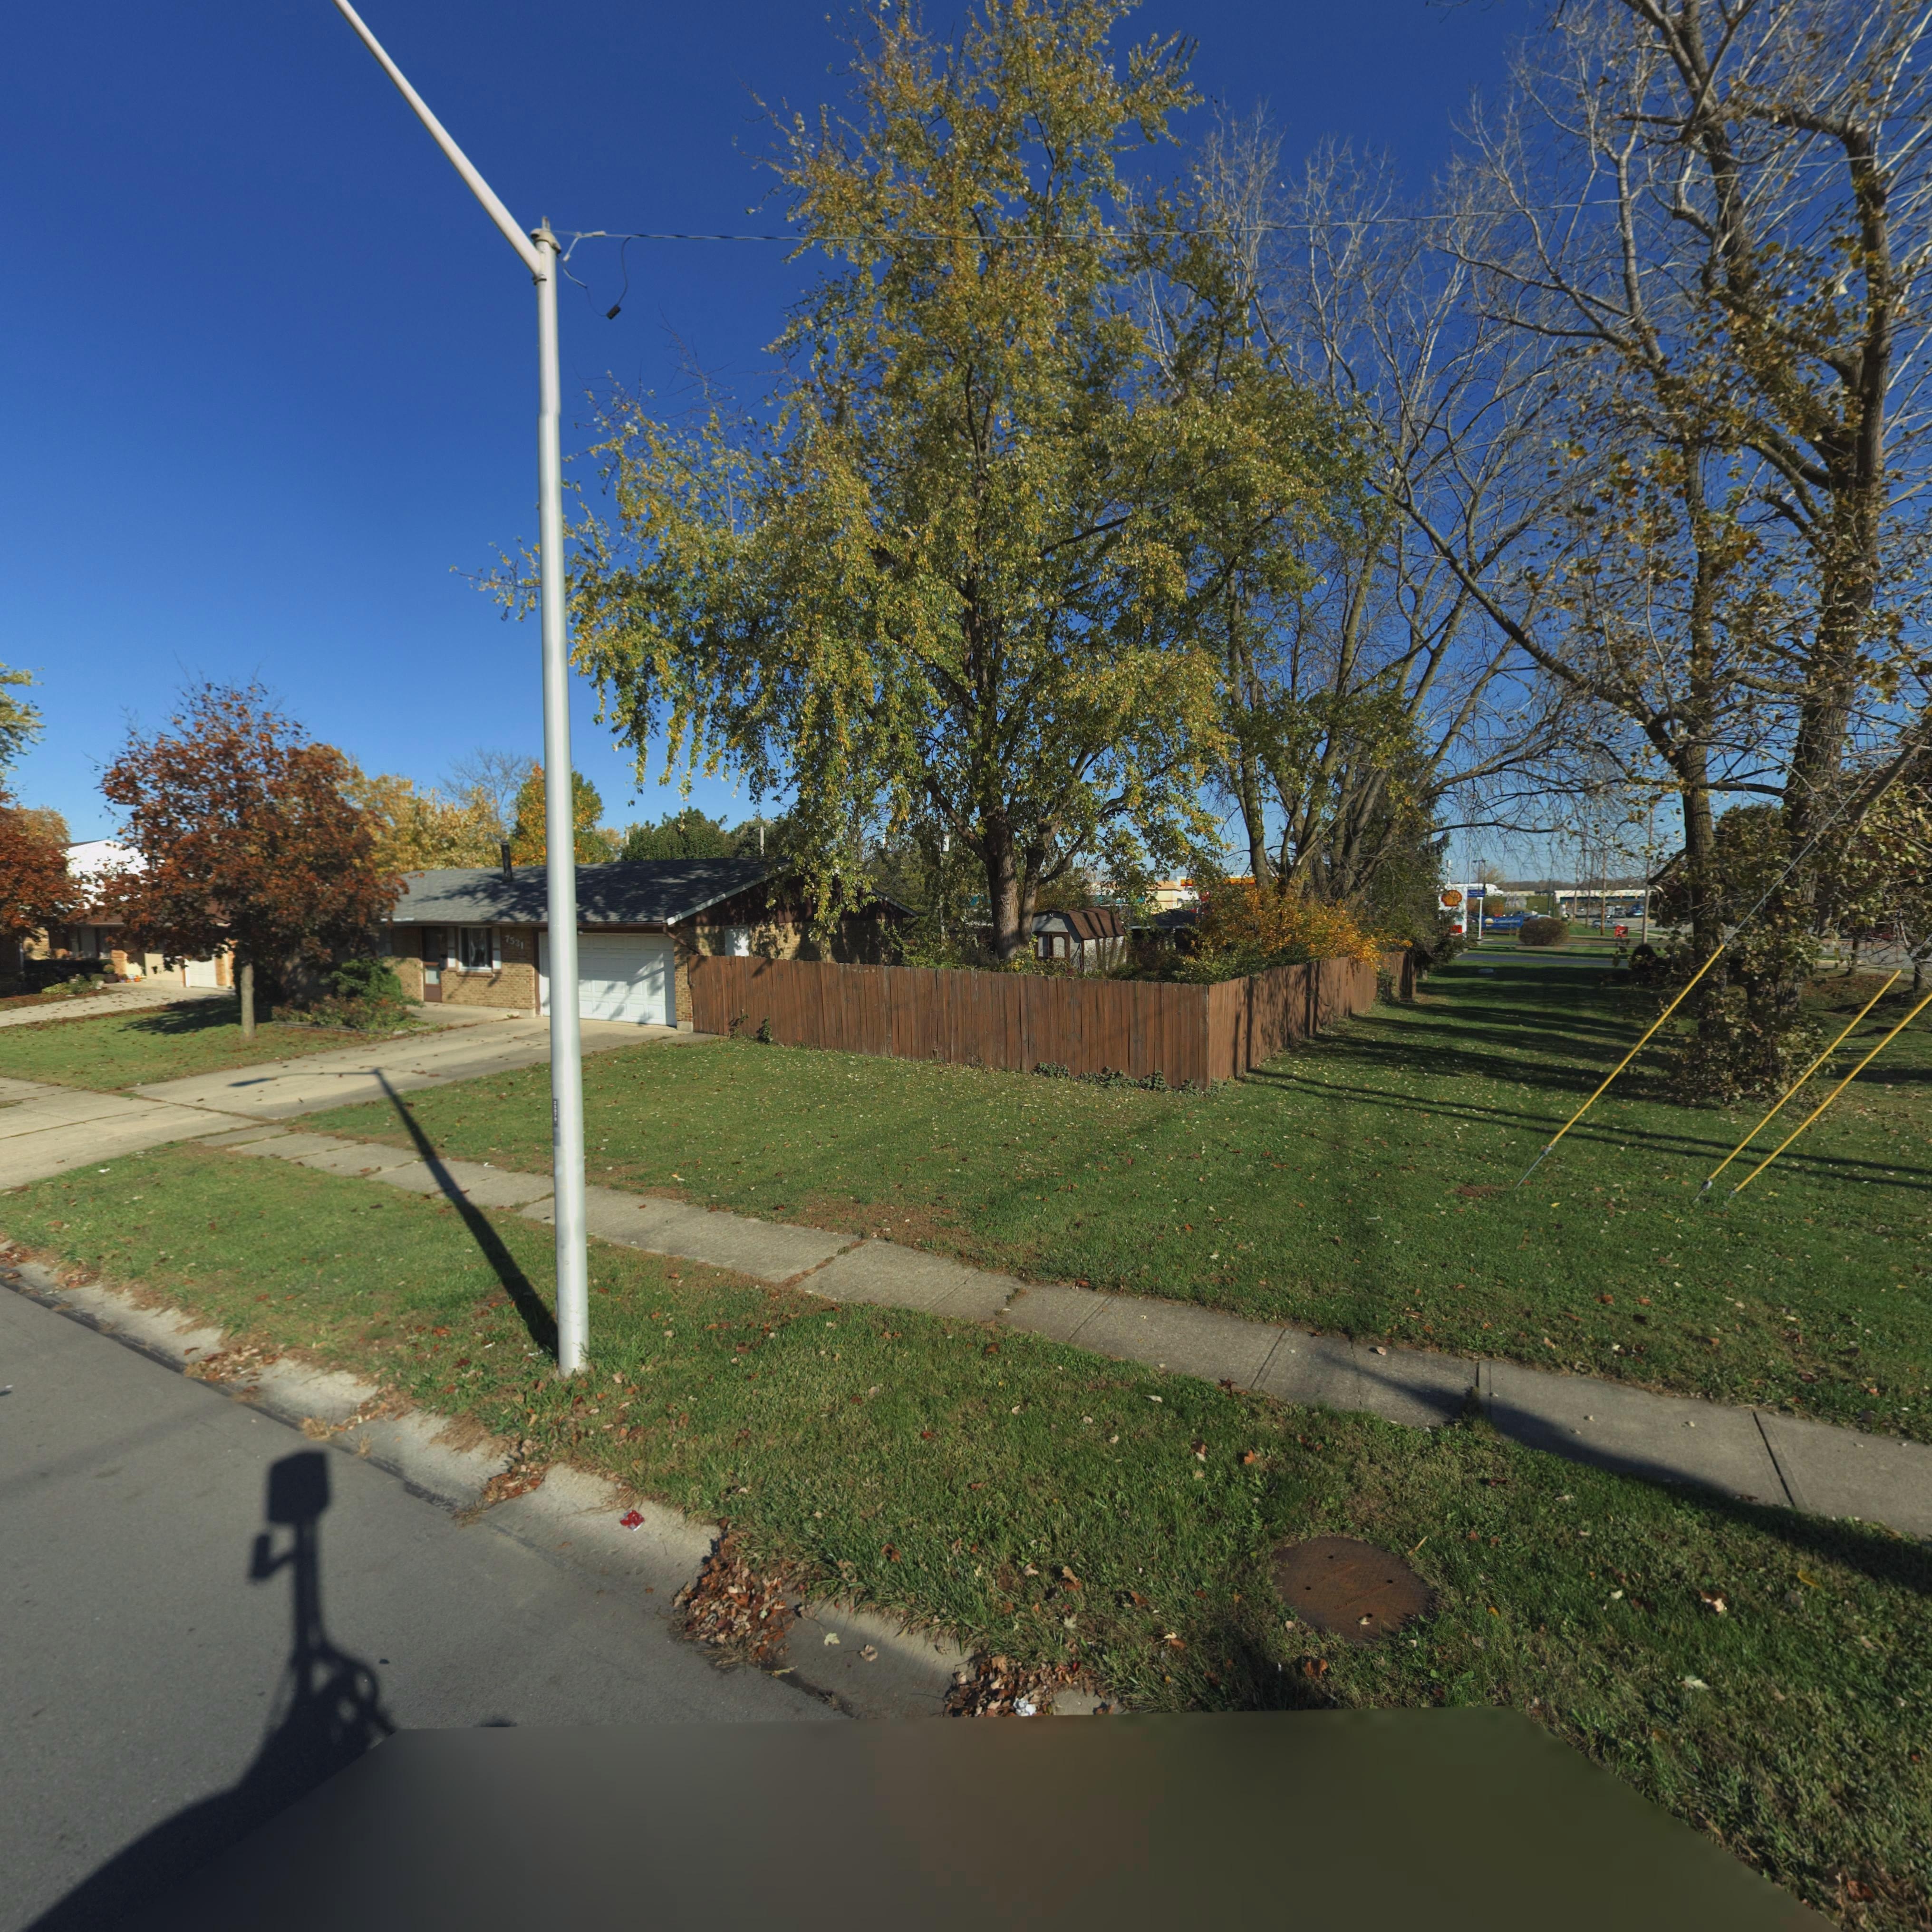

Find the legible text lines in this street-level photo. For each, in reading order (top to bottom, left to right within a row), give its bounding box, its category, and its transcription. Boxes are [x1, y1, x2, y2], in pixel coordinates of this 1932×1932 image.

[503, 934, 525, 951] StreetNumber: 7531